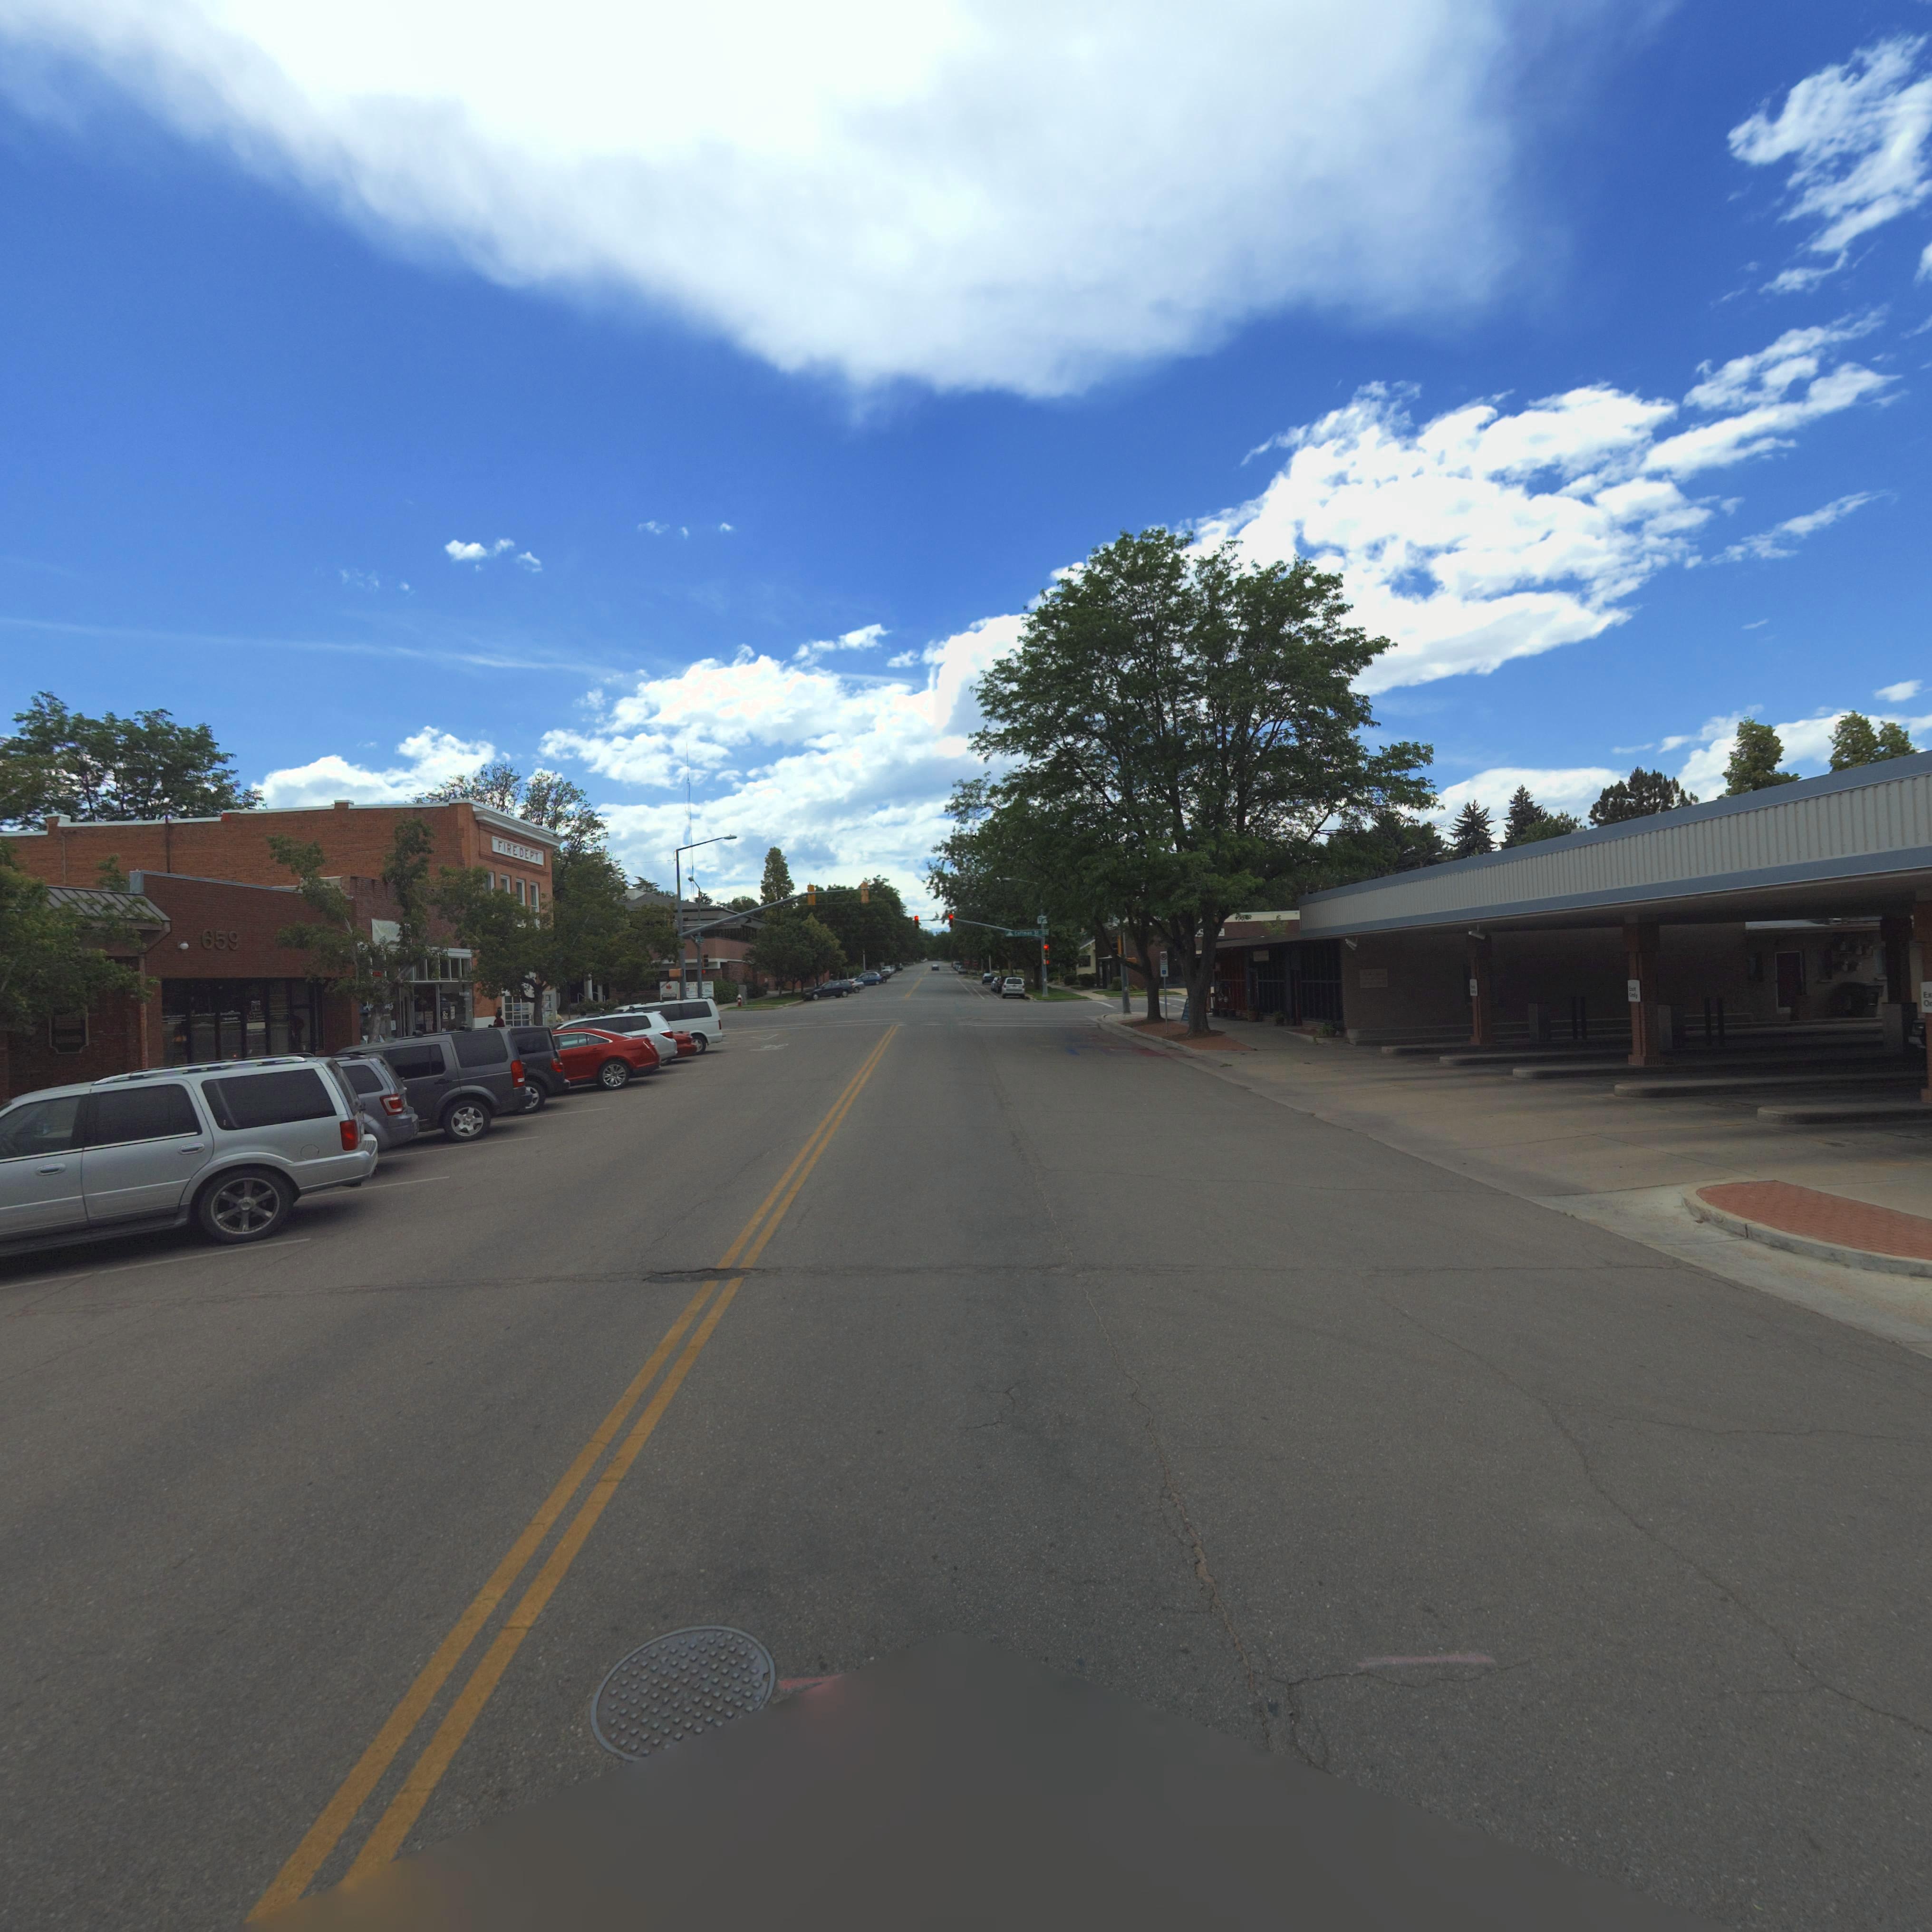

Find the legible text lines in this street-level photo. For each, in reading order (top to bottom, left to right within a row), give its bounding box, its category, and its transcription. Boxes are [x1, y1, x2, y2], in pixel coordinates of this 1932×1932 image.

[1014, 930, 1039, 935] StreetName: Co****n St
[201, 929, 240, 951] StreetNumber: 659
[362, 1000, 394, 1012] BusinessName: As*******s
[249, 1010, 262, 1014] BusinessName: C******
[246, 1017, 265, 1022] BusinessName: A*********